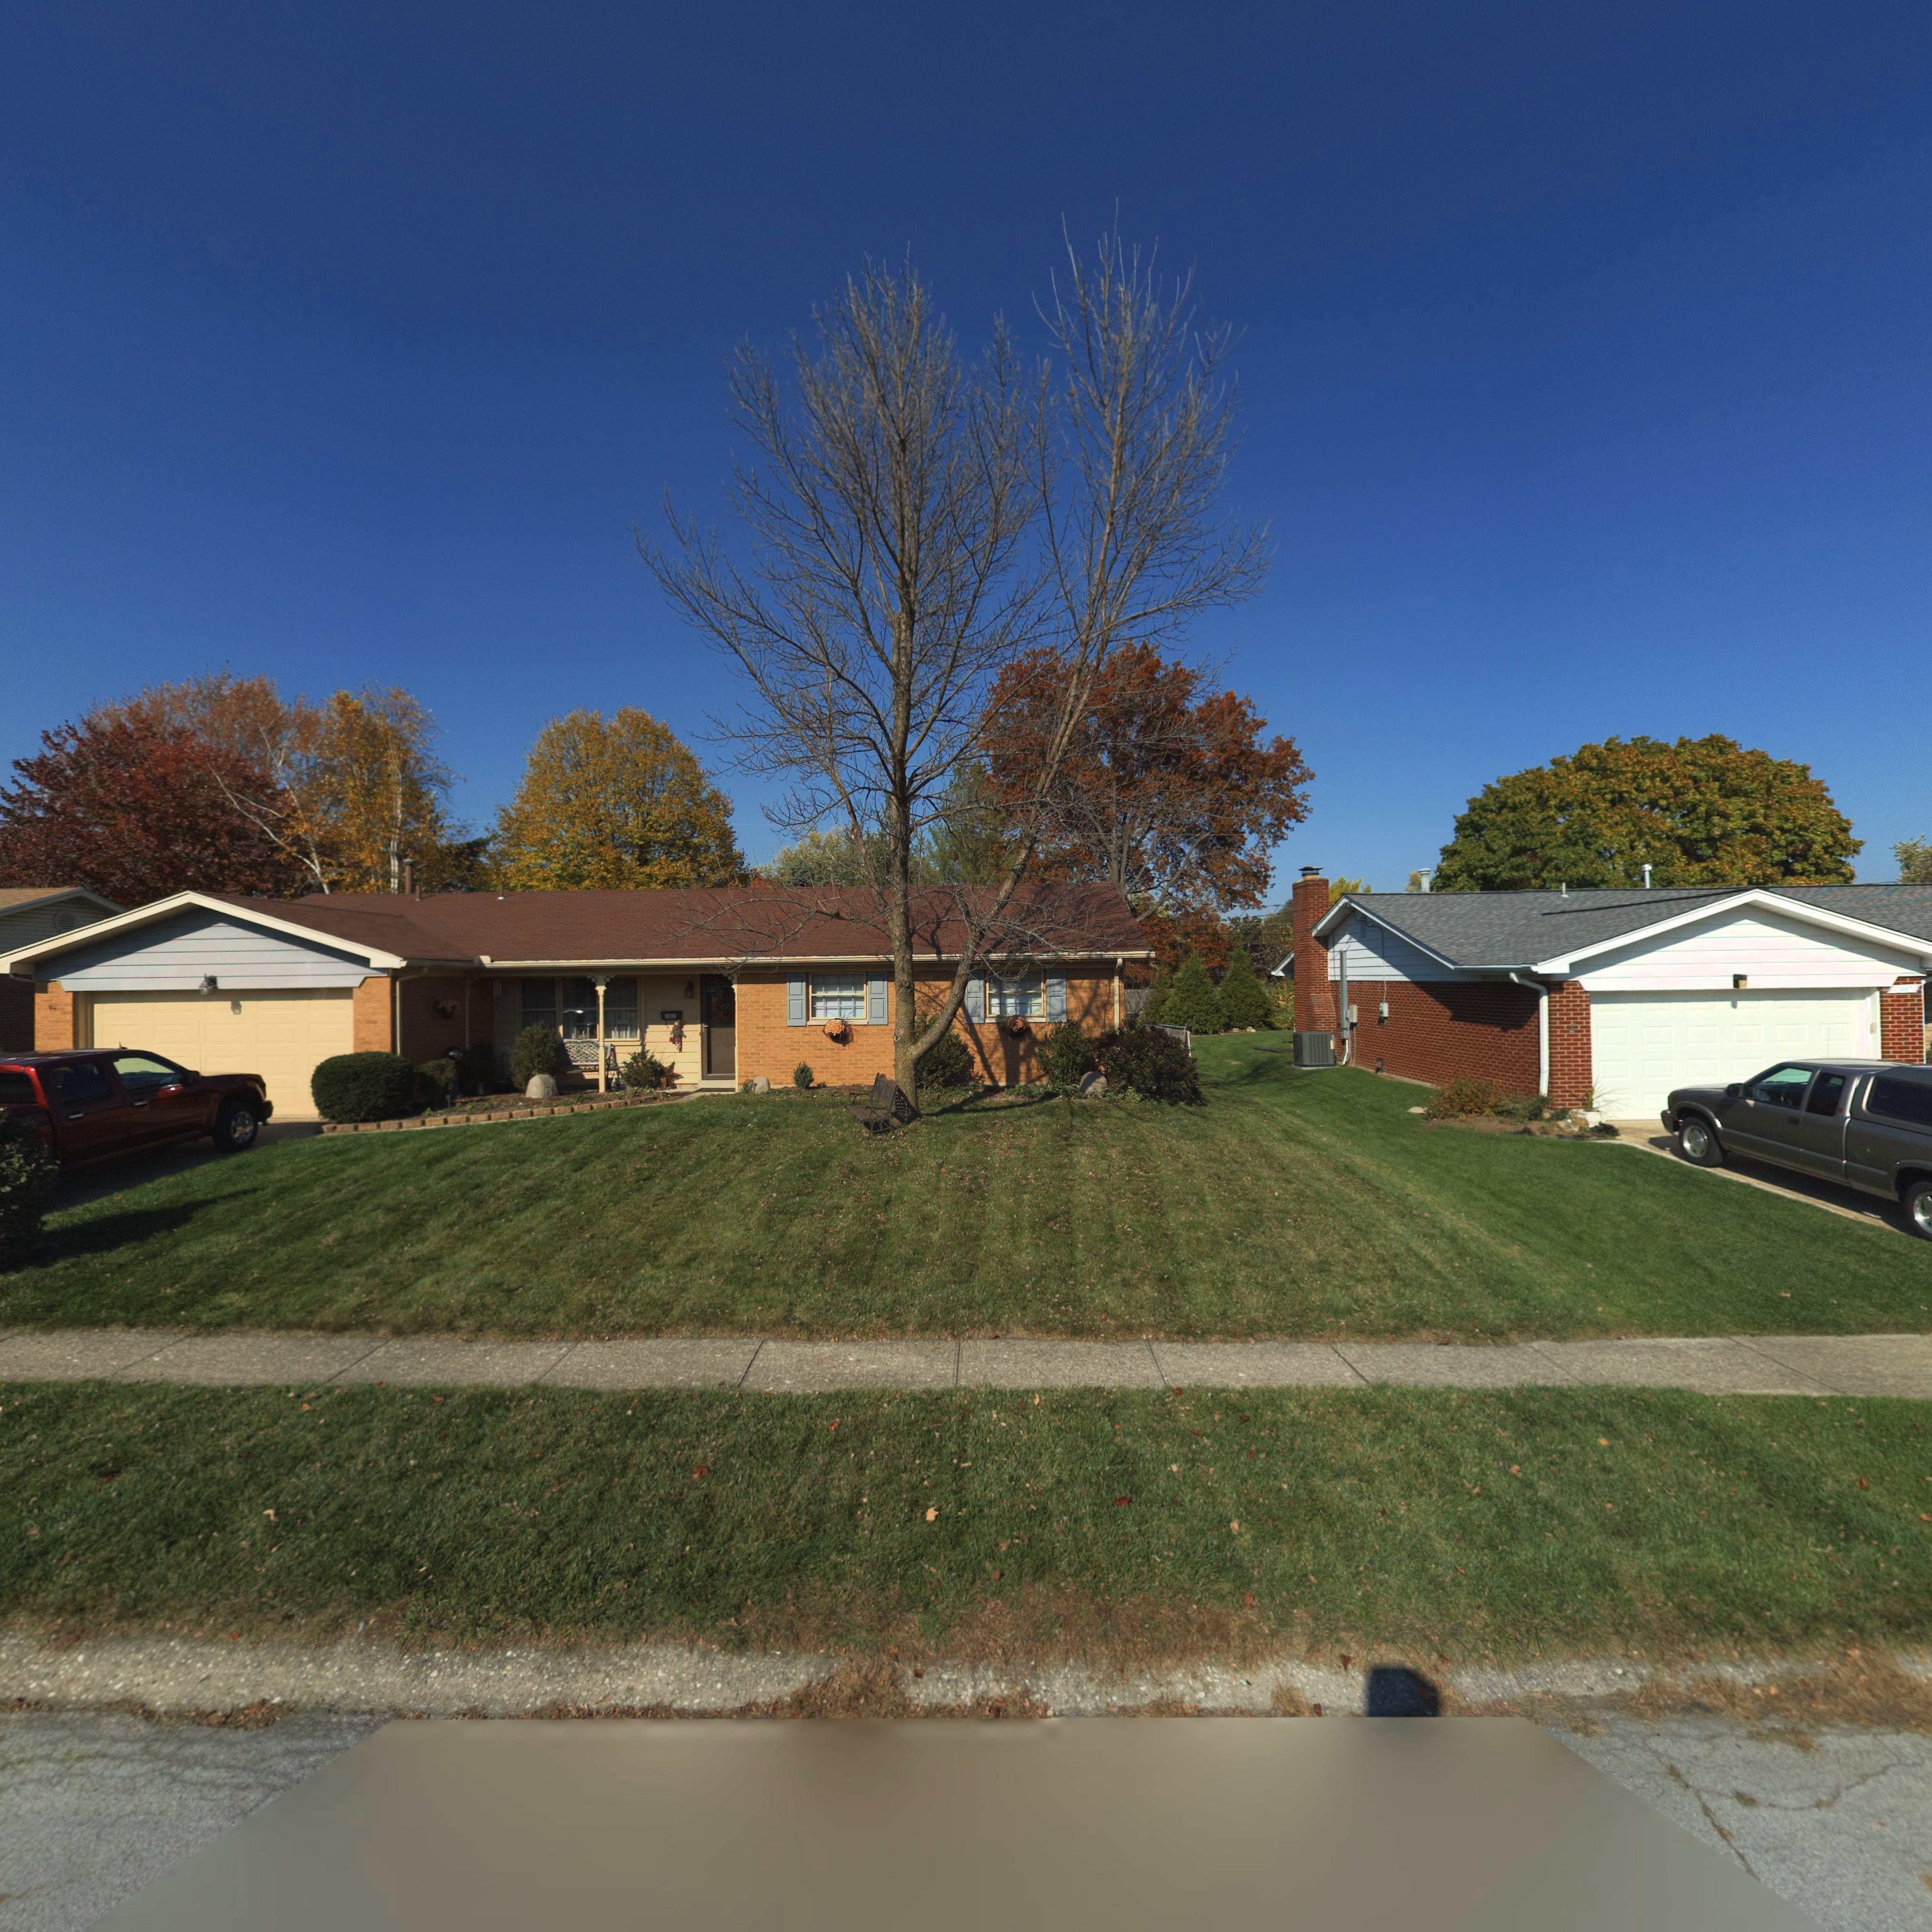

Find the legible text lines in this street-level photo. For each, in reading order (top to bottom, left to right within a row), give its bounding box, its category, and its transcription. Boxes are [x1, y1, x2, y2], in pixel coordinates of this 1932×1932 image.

[665, 1014, 675, 1018] StreetNumber: 1001